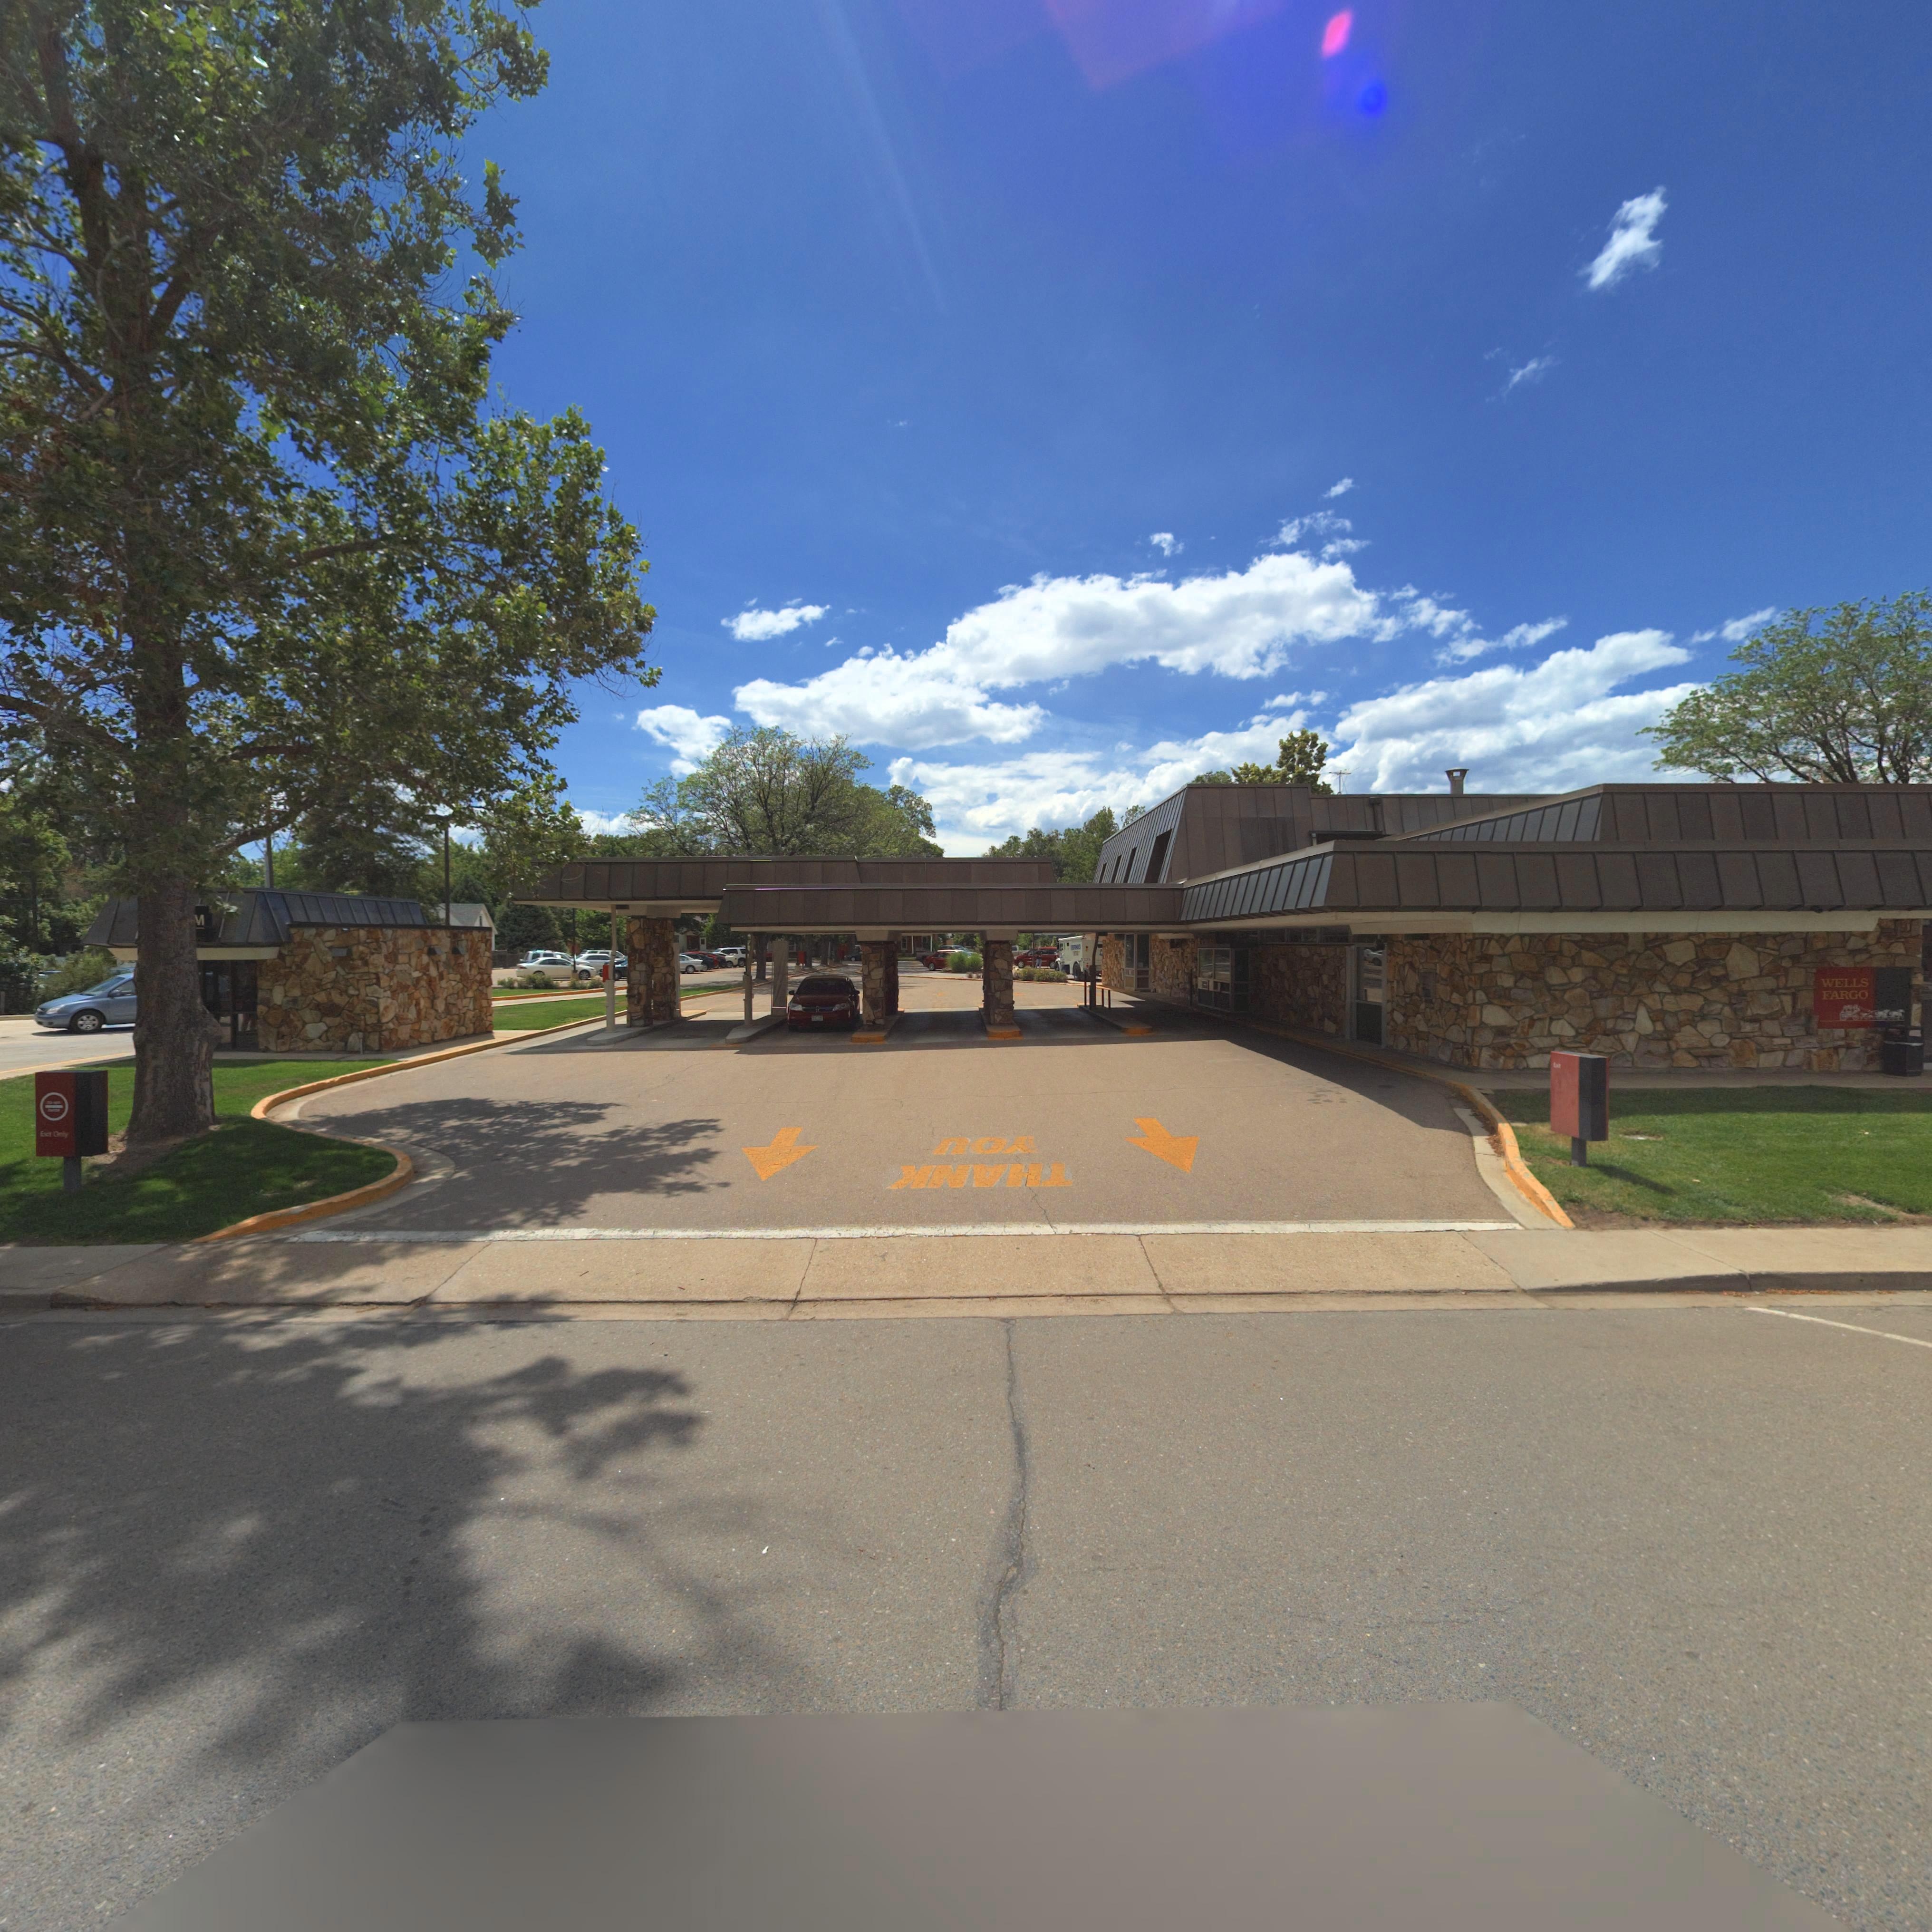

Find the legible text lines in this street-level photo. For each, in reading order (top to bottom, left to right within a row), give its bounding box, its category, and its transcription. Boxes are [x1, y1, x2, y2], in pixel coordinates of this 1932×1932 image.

[1820, 977, 1869, 988] BusinessName: WELLS
[1822, 989, 1869, 1001] BusinessName: FARGO